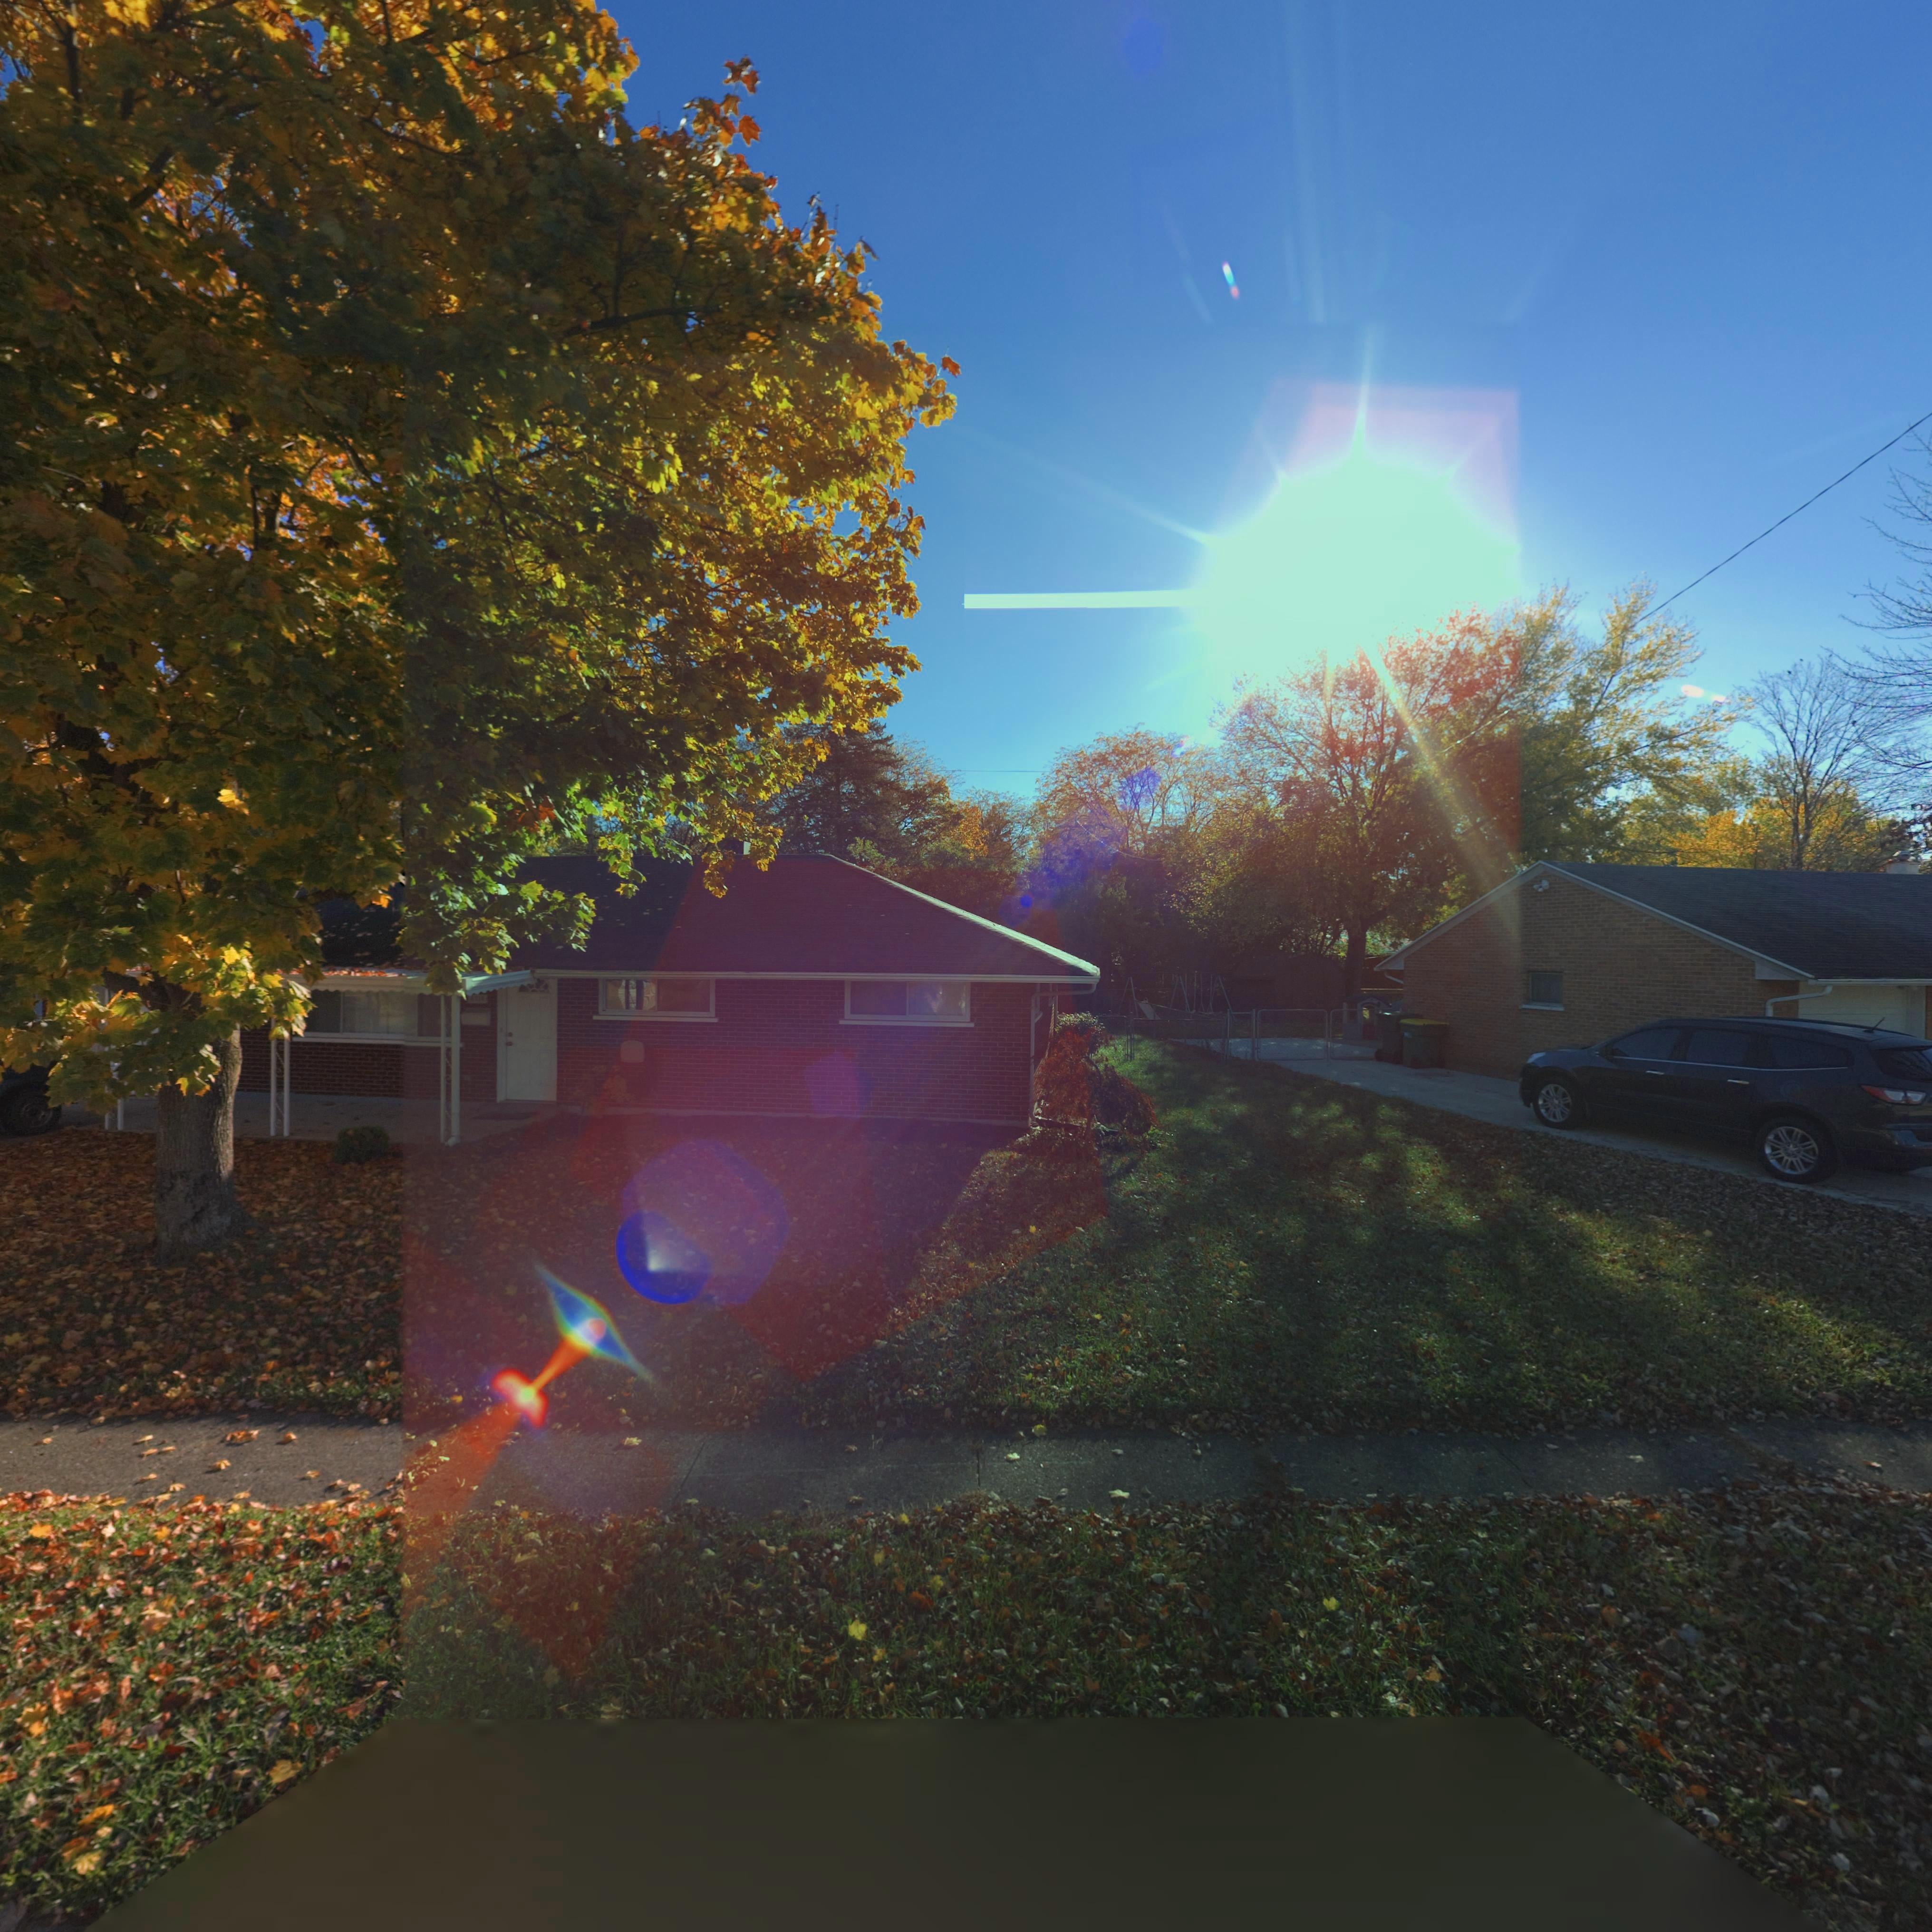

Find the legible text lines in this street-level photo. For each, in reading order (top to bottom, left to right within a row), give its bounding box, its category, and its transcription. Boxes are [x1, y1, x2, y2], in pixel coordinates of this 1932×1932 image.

[469, 995, 484, 1001] StreetNumber: 4716